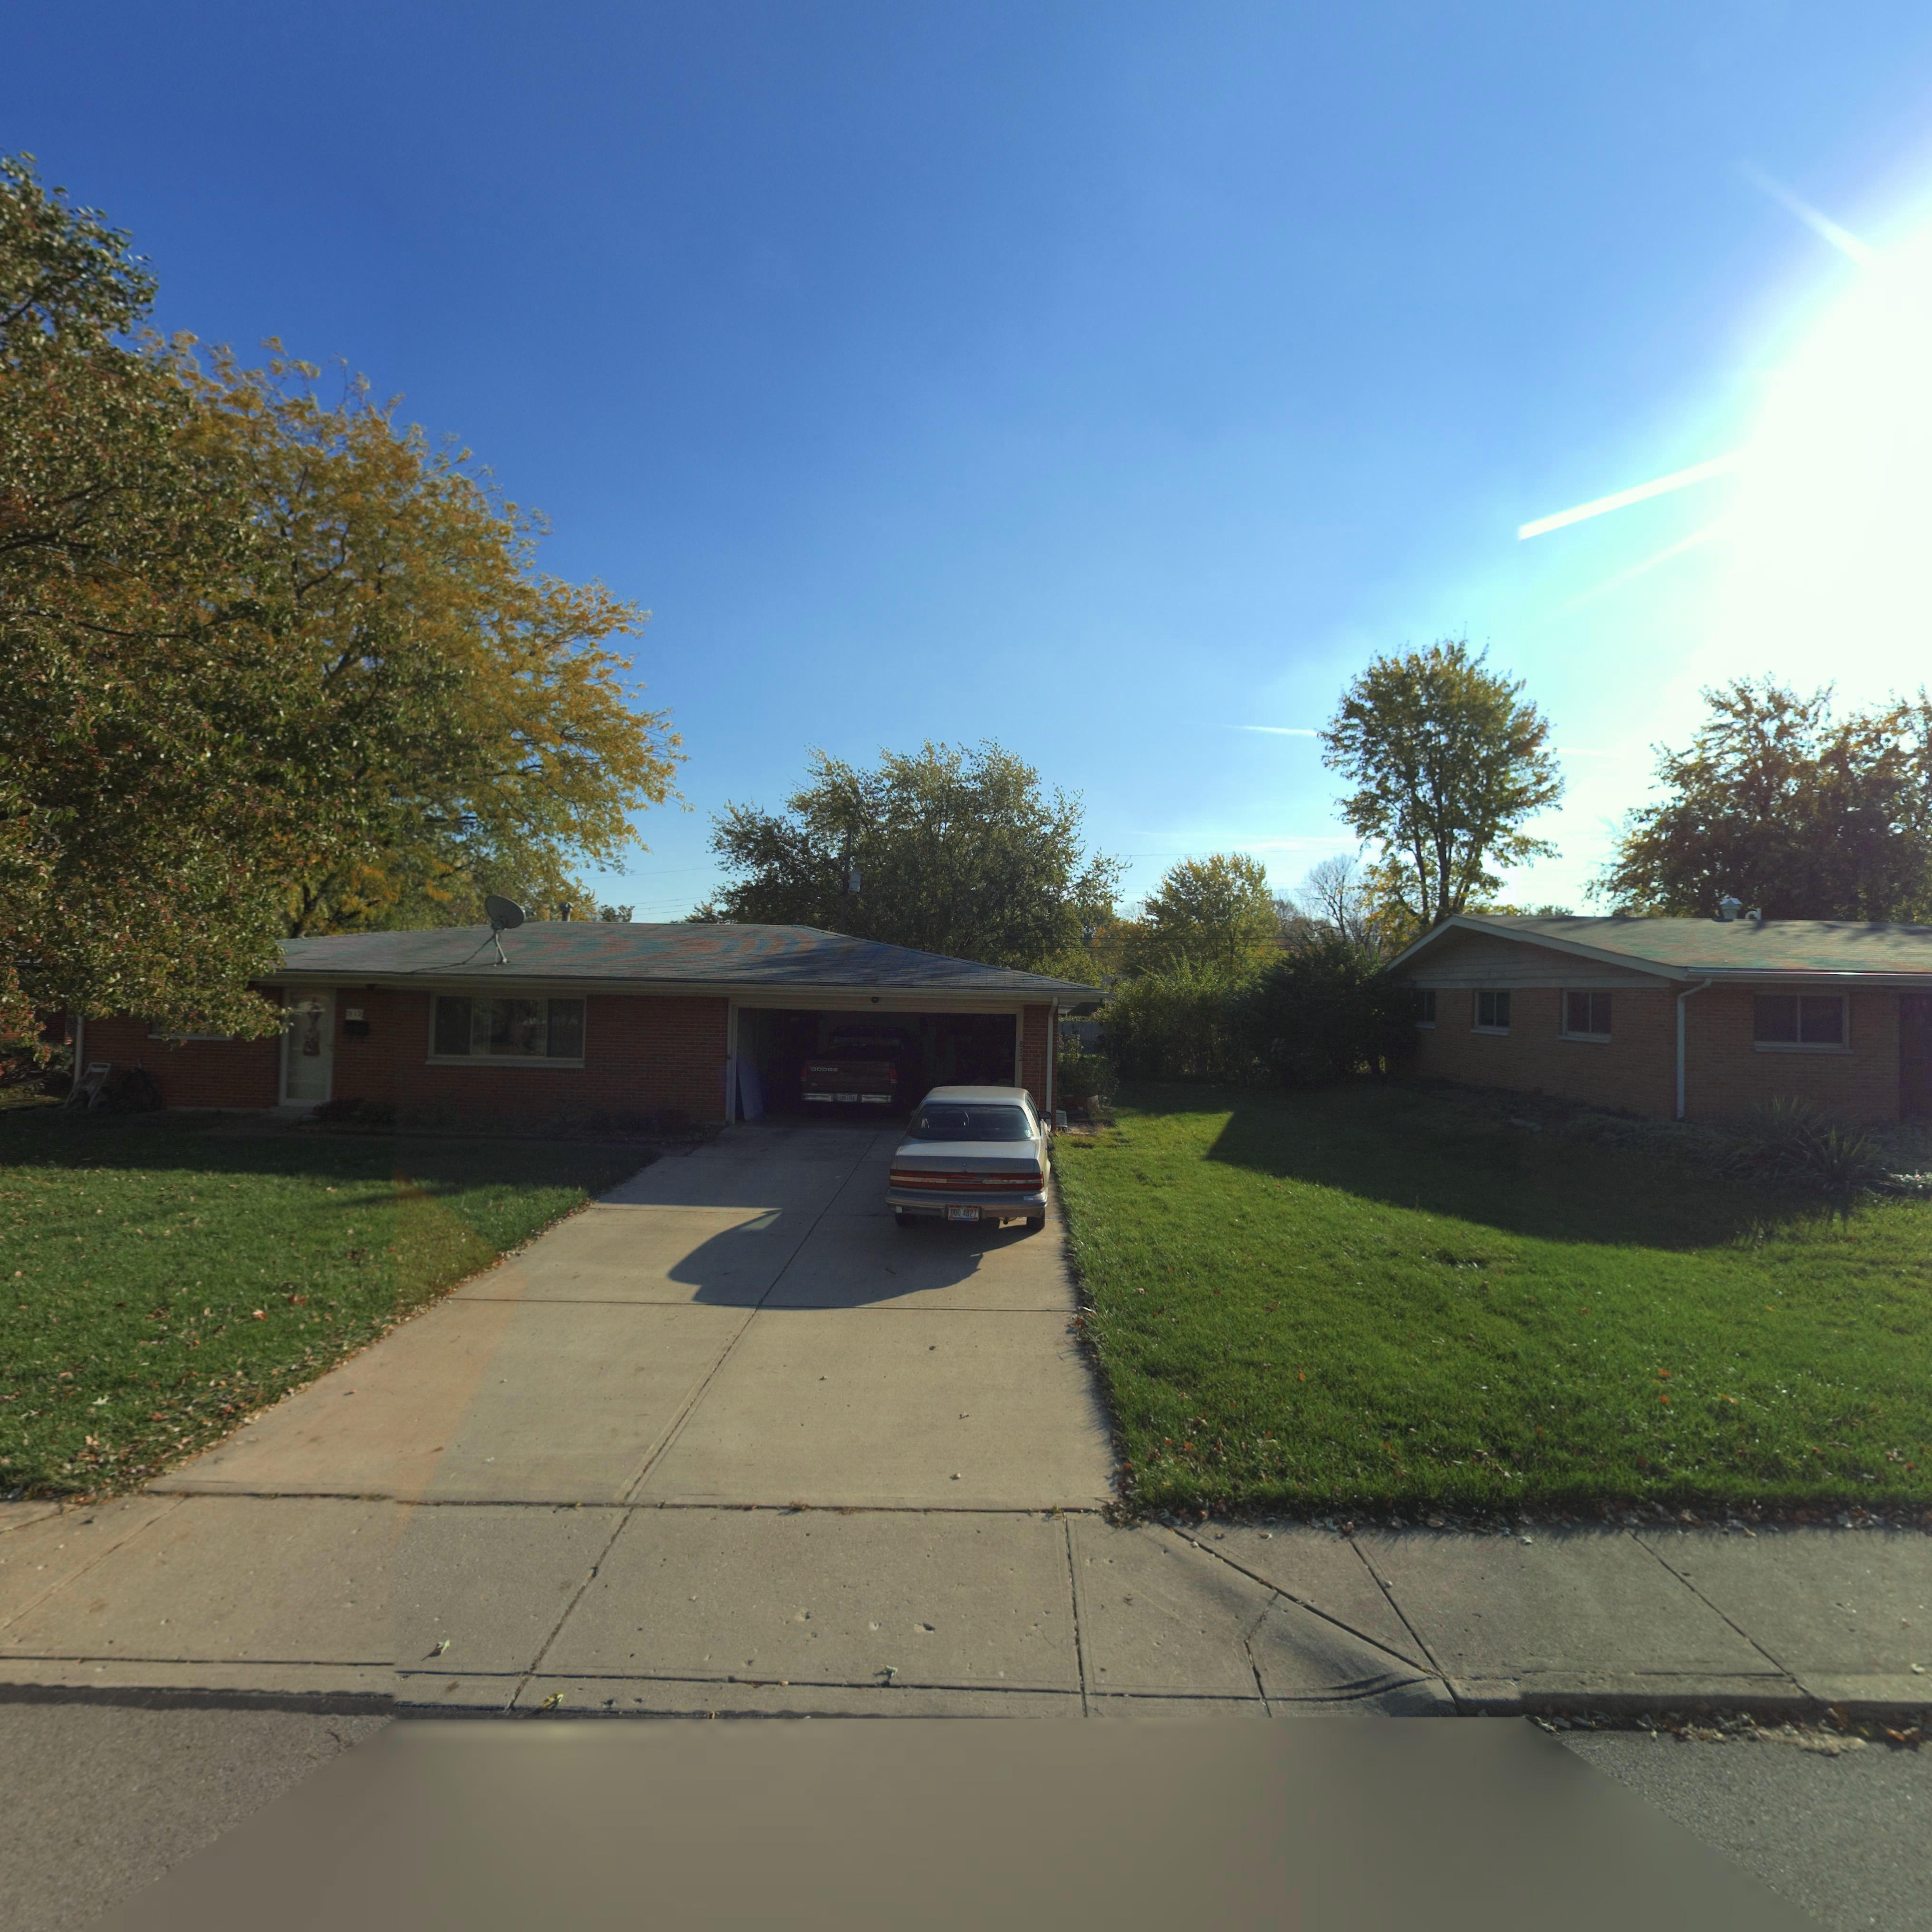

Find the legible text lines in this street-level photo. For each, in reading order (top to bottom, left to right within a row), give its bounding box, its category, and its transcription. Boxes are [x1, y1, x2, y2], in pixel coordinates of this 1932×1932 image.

[348, 1009, 362, 1018] StreetNumber: 812